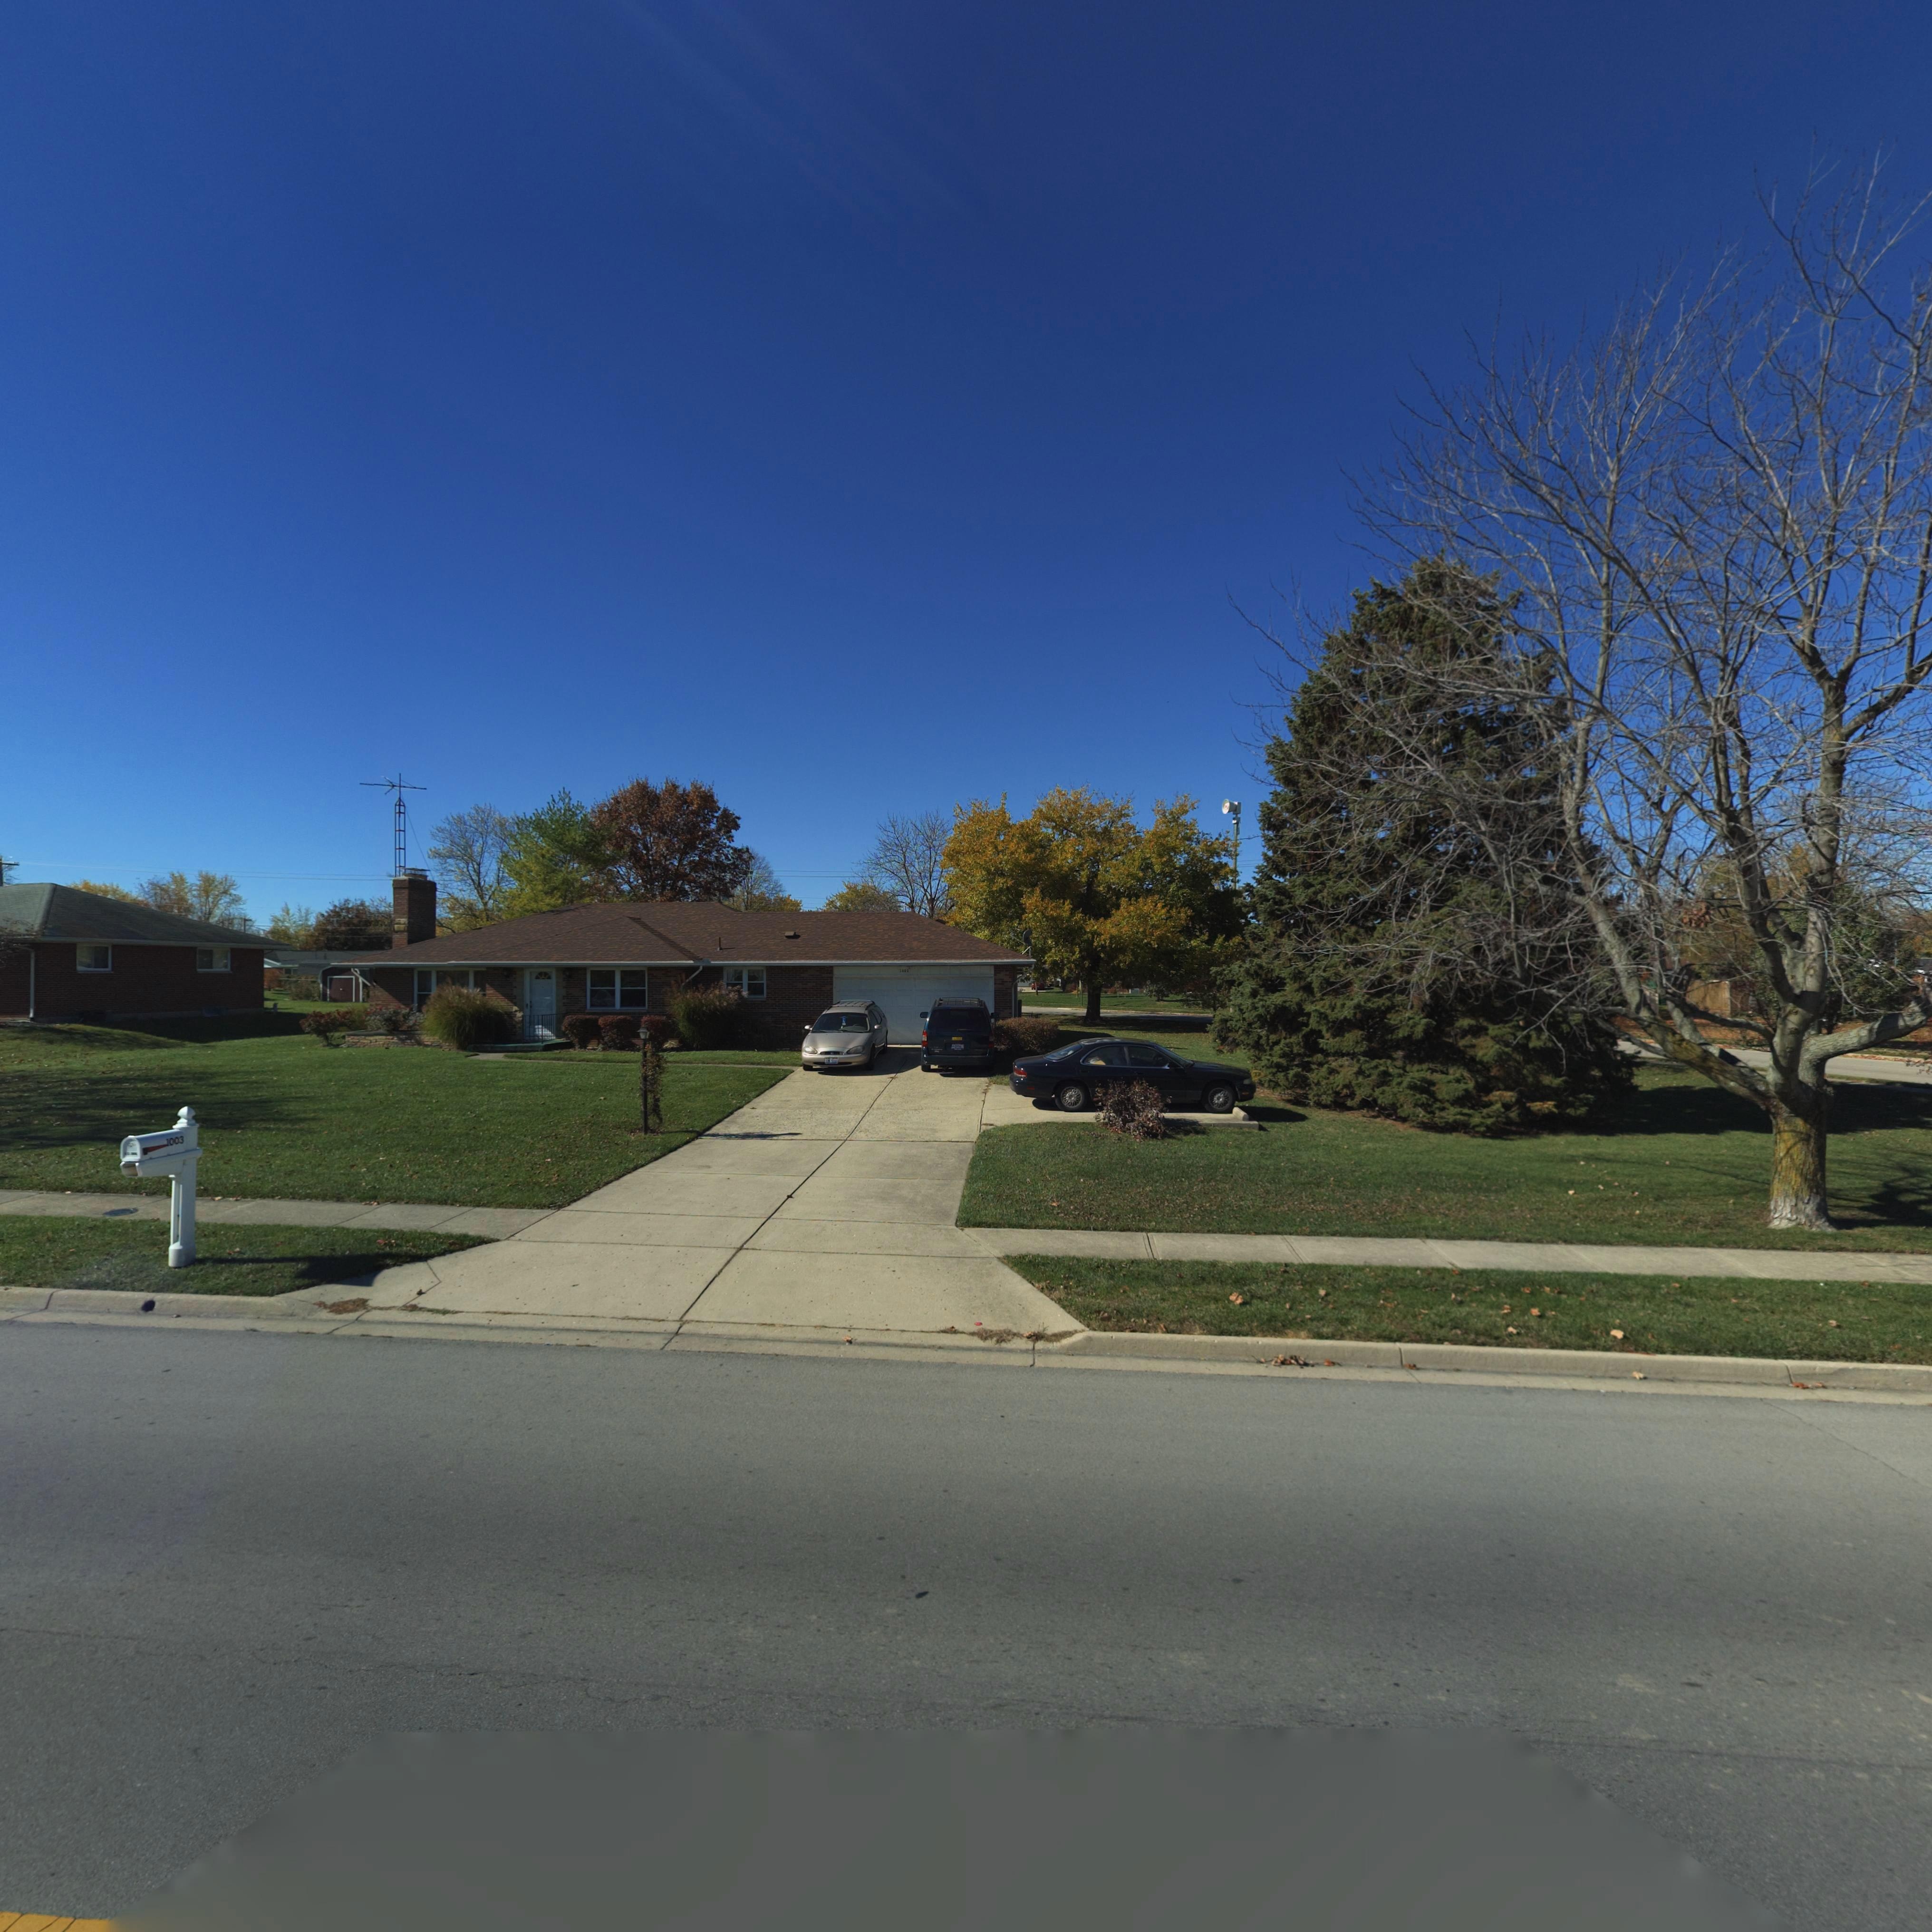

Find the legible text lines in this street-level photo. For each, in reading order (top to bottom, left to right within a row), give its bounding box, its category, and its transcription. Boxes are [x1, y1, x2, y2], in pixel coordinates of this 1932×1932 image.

[165, 1134, 185, 1148] StreetNumber: 1003